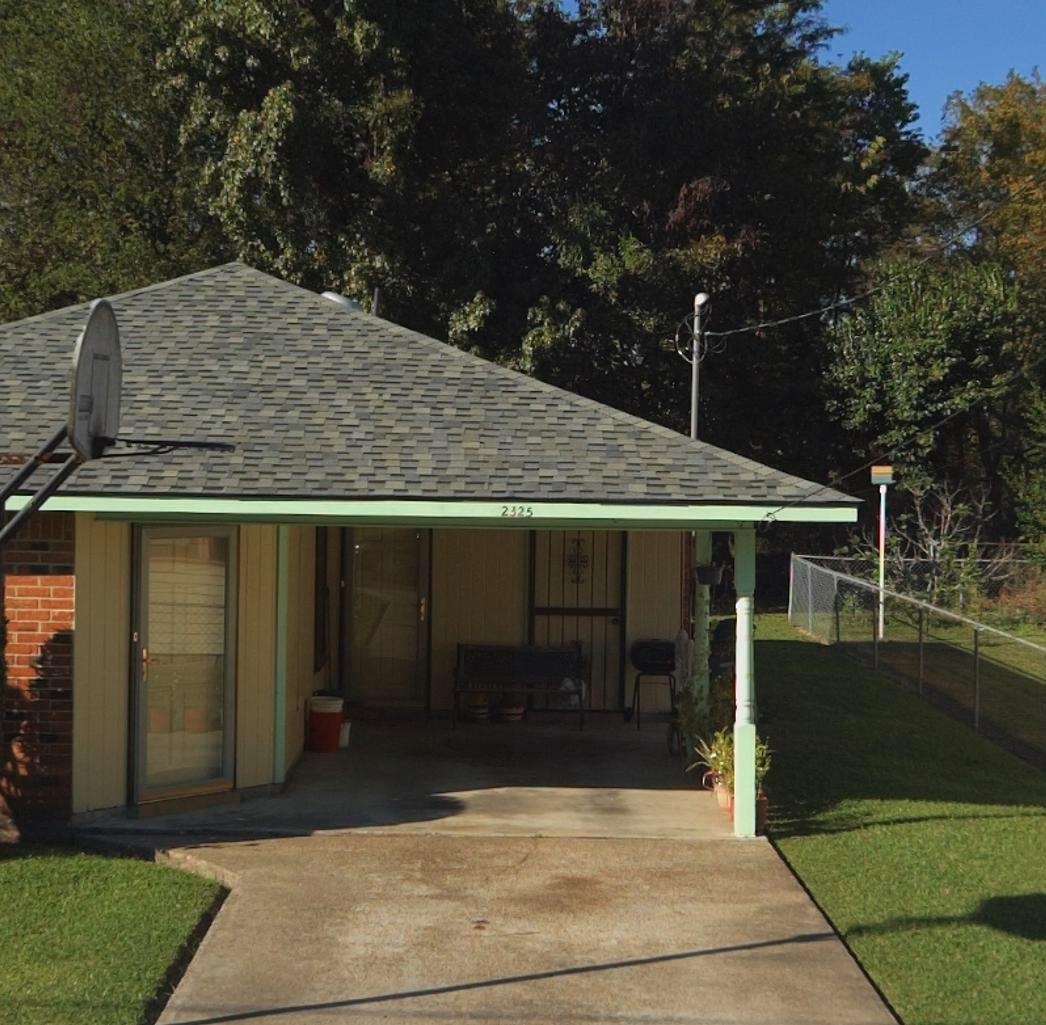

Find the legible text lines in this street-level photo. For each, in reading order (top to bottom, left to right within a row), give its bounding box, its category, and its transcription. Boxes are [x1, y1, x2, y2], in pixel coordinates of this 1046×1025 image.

[500, 503, 535, 519] StreetNumber: 2325